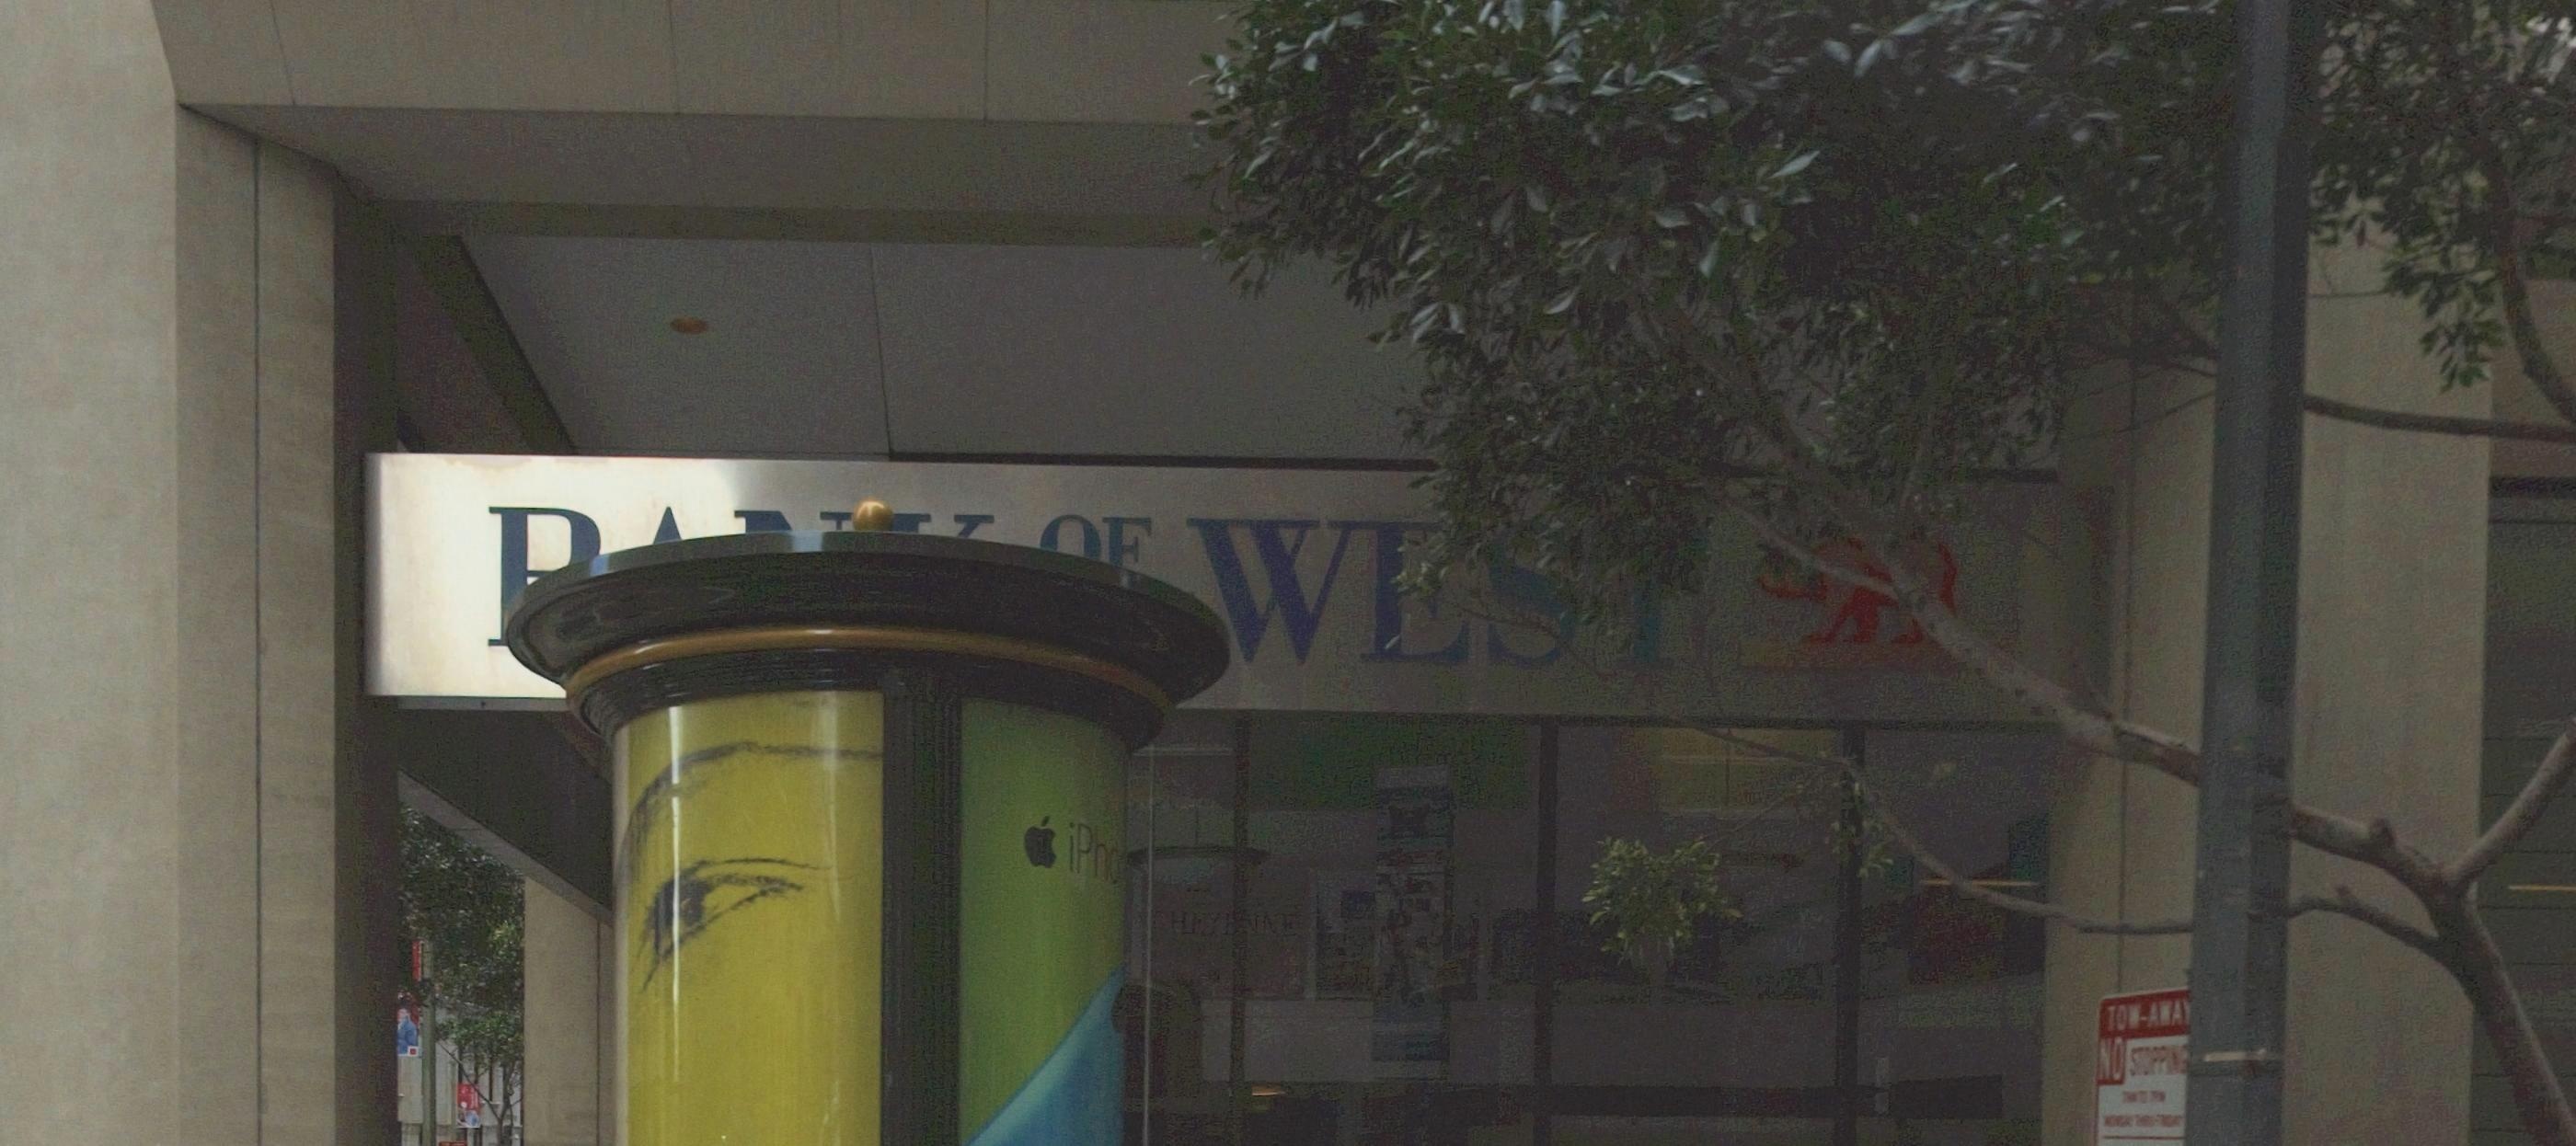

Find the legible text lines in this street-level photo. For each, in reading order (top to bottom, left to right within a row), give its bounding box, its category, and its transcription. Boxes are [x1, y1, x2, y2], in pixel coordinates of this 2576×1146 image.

[1177, 508, 1381, 670] BusinessName: W
[1064, 816, 1123, 893] None: iPho
[2102, 992, 2198, 1036] None: TOW-AWAY
[2095, 1031, 2194, 1084] None: NO STOPPING